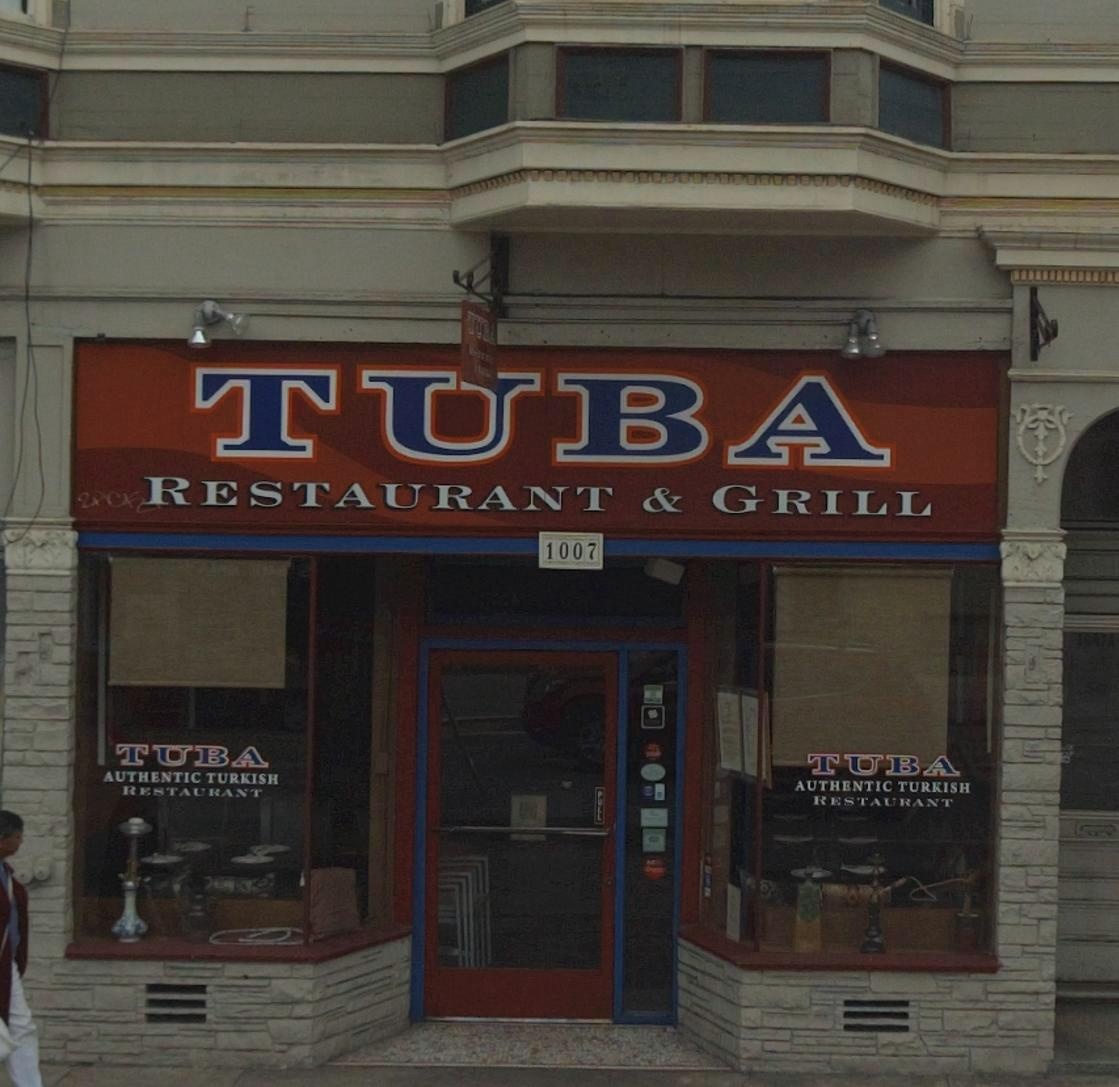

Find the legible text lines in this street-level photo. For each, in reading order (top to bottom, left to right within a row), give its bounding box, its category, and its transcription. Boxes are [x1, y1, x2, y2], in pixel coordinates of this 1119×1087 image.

[187, 359, 895, 473] BusinessName: TUBA
[138, 474, 936, 520] BusinessName: RESTAURANT & GRILL
[544, 539, 598, 562] StreetNumber: 1007
[100, 767, 280, 787] BusinessName: AUTHENTIC TURKISH
[121, 783, 263, 800] BusinessName: RESTAURANT
[114, 742, 271, 768] BusinessName: TUBA
[597, 789, 604, 822] None: PULL
[791, 778, 971, 795] BusinessName: AUTHENTIC TURKISH
[811, 792, 954, 810] BusinessName: RESTAURANT
[805, 751, 963, 777] BusinessName: TUBA